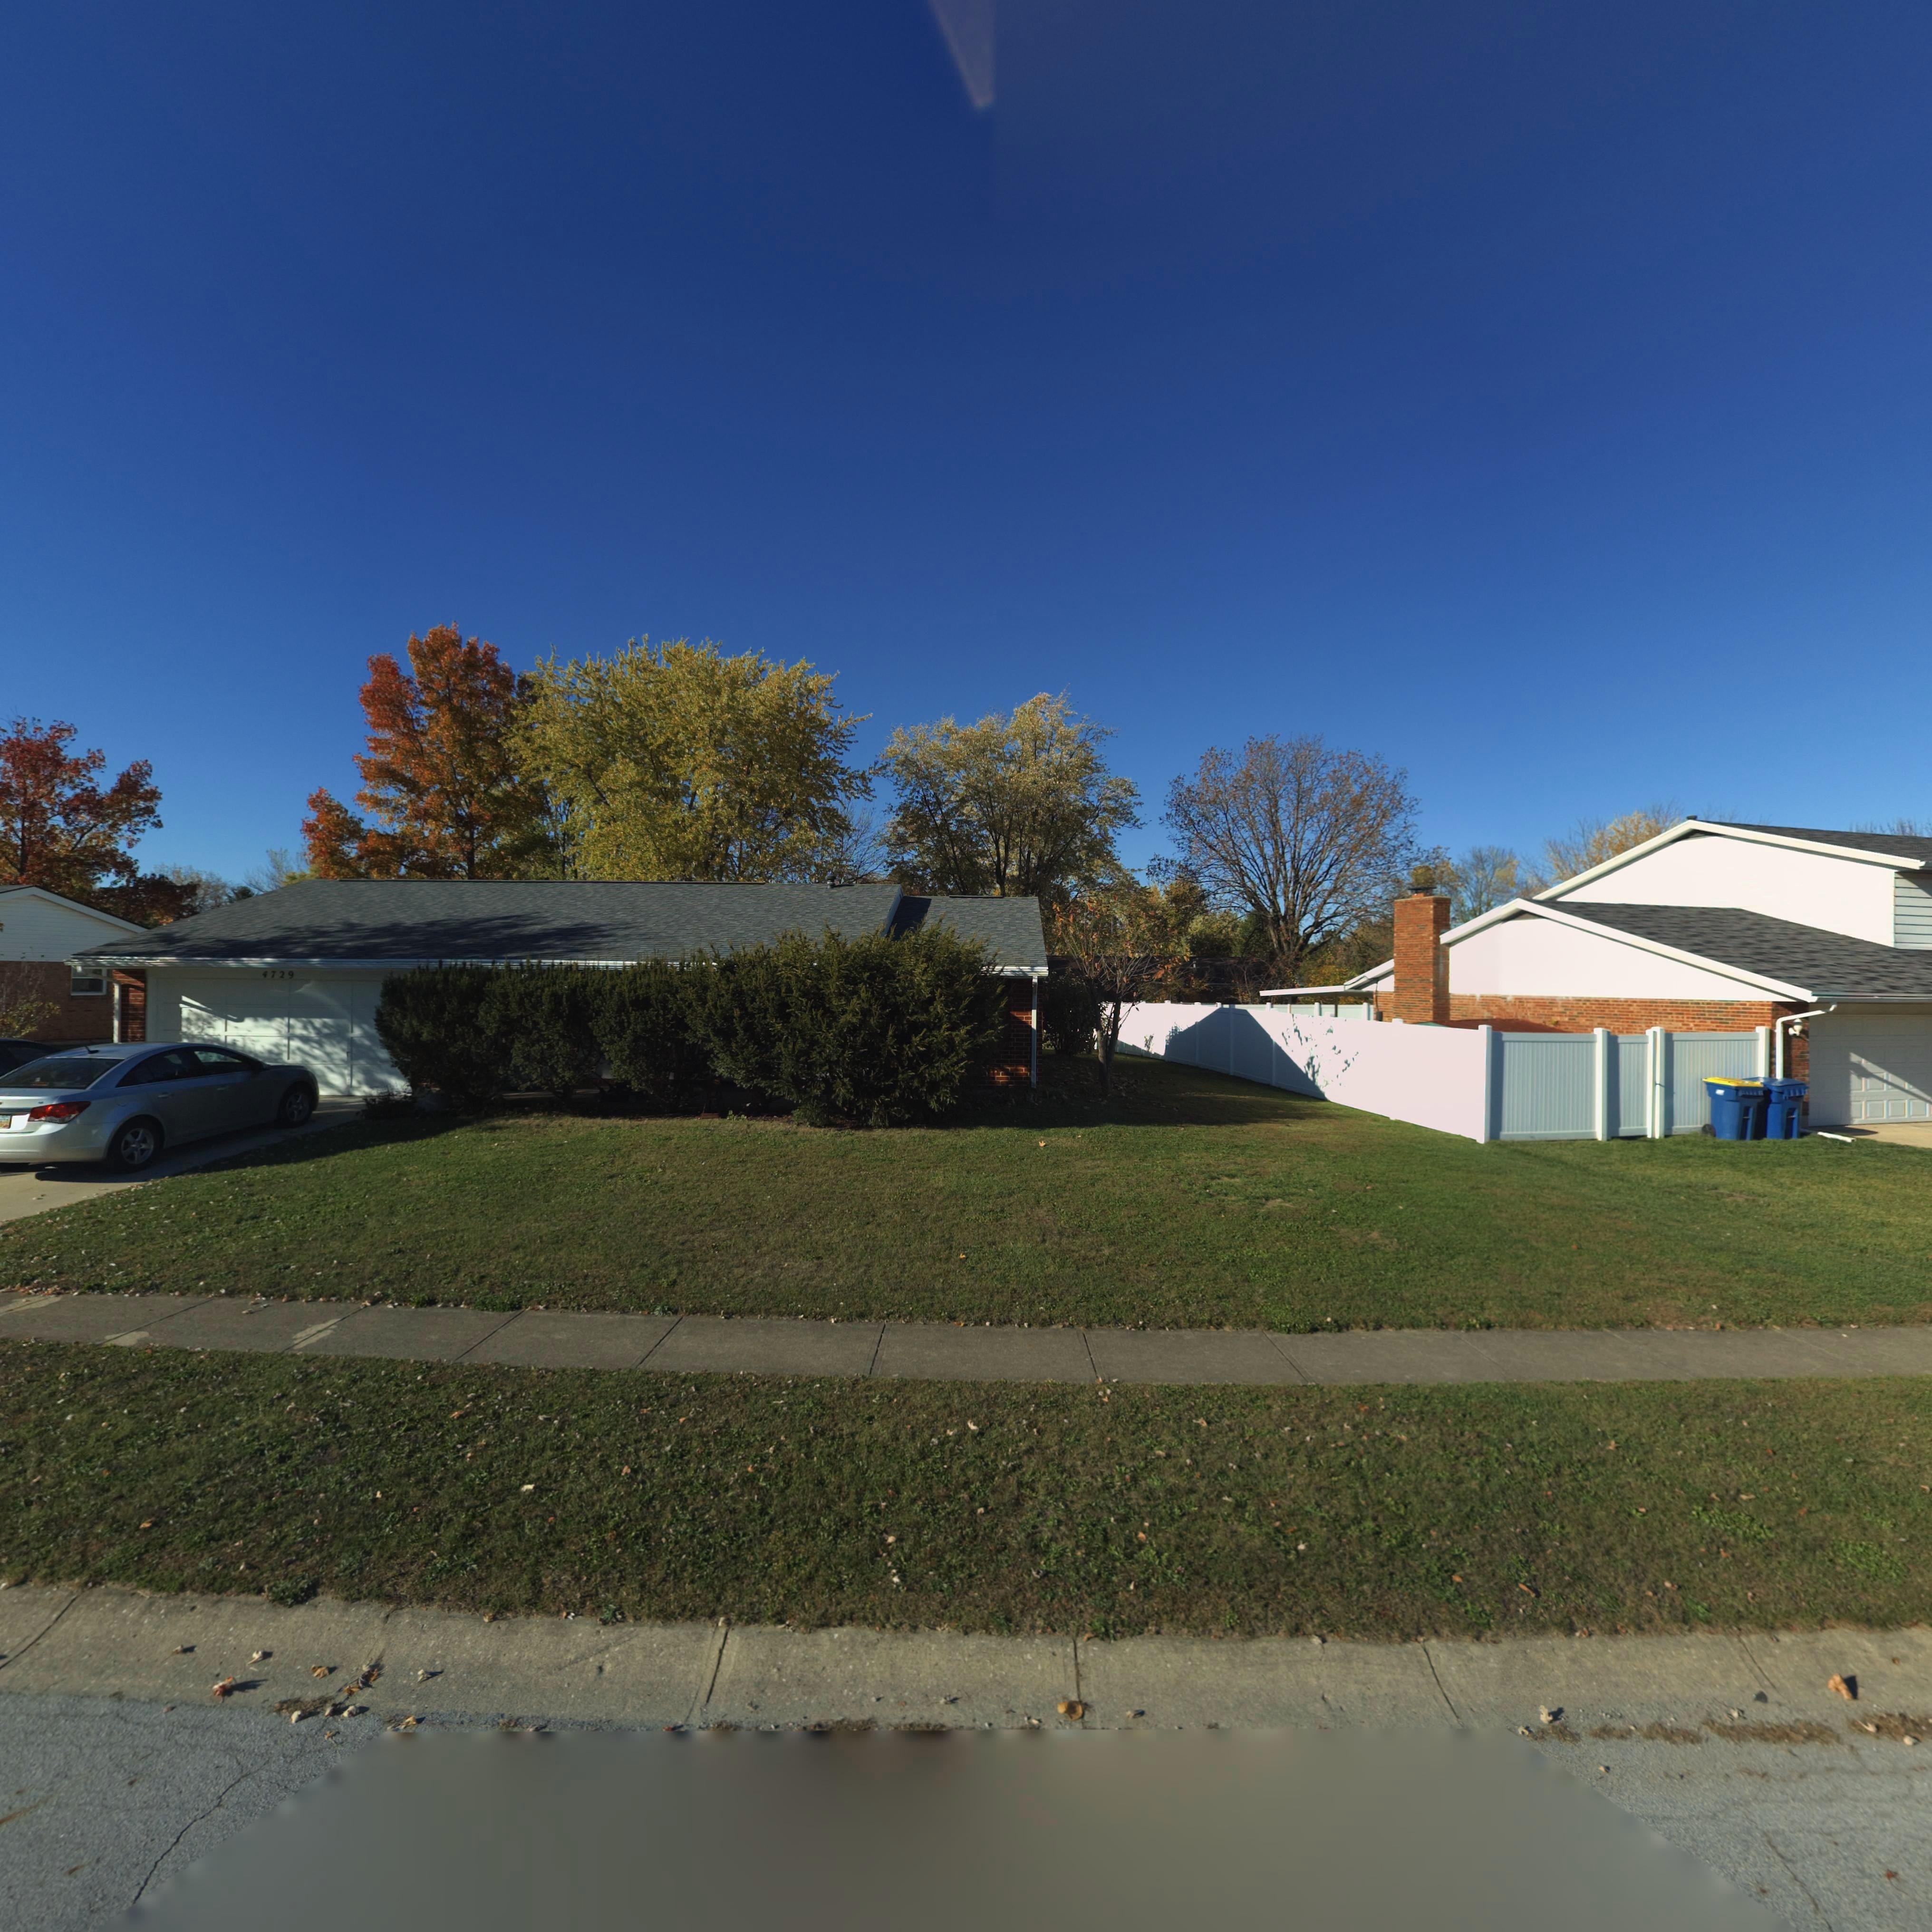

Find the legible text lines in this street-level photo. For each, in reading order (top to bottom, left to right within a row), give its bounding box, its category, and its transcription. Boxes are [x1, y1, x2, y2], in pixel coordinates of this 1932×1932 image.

[261, 969, 295, 980] StreetNumber: 4729